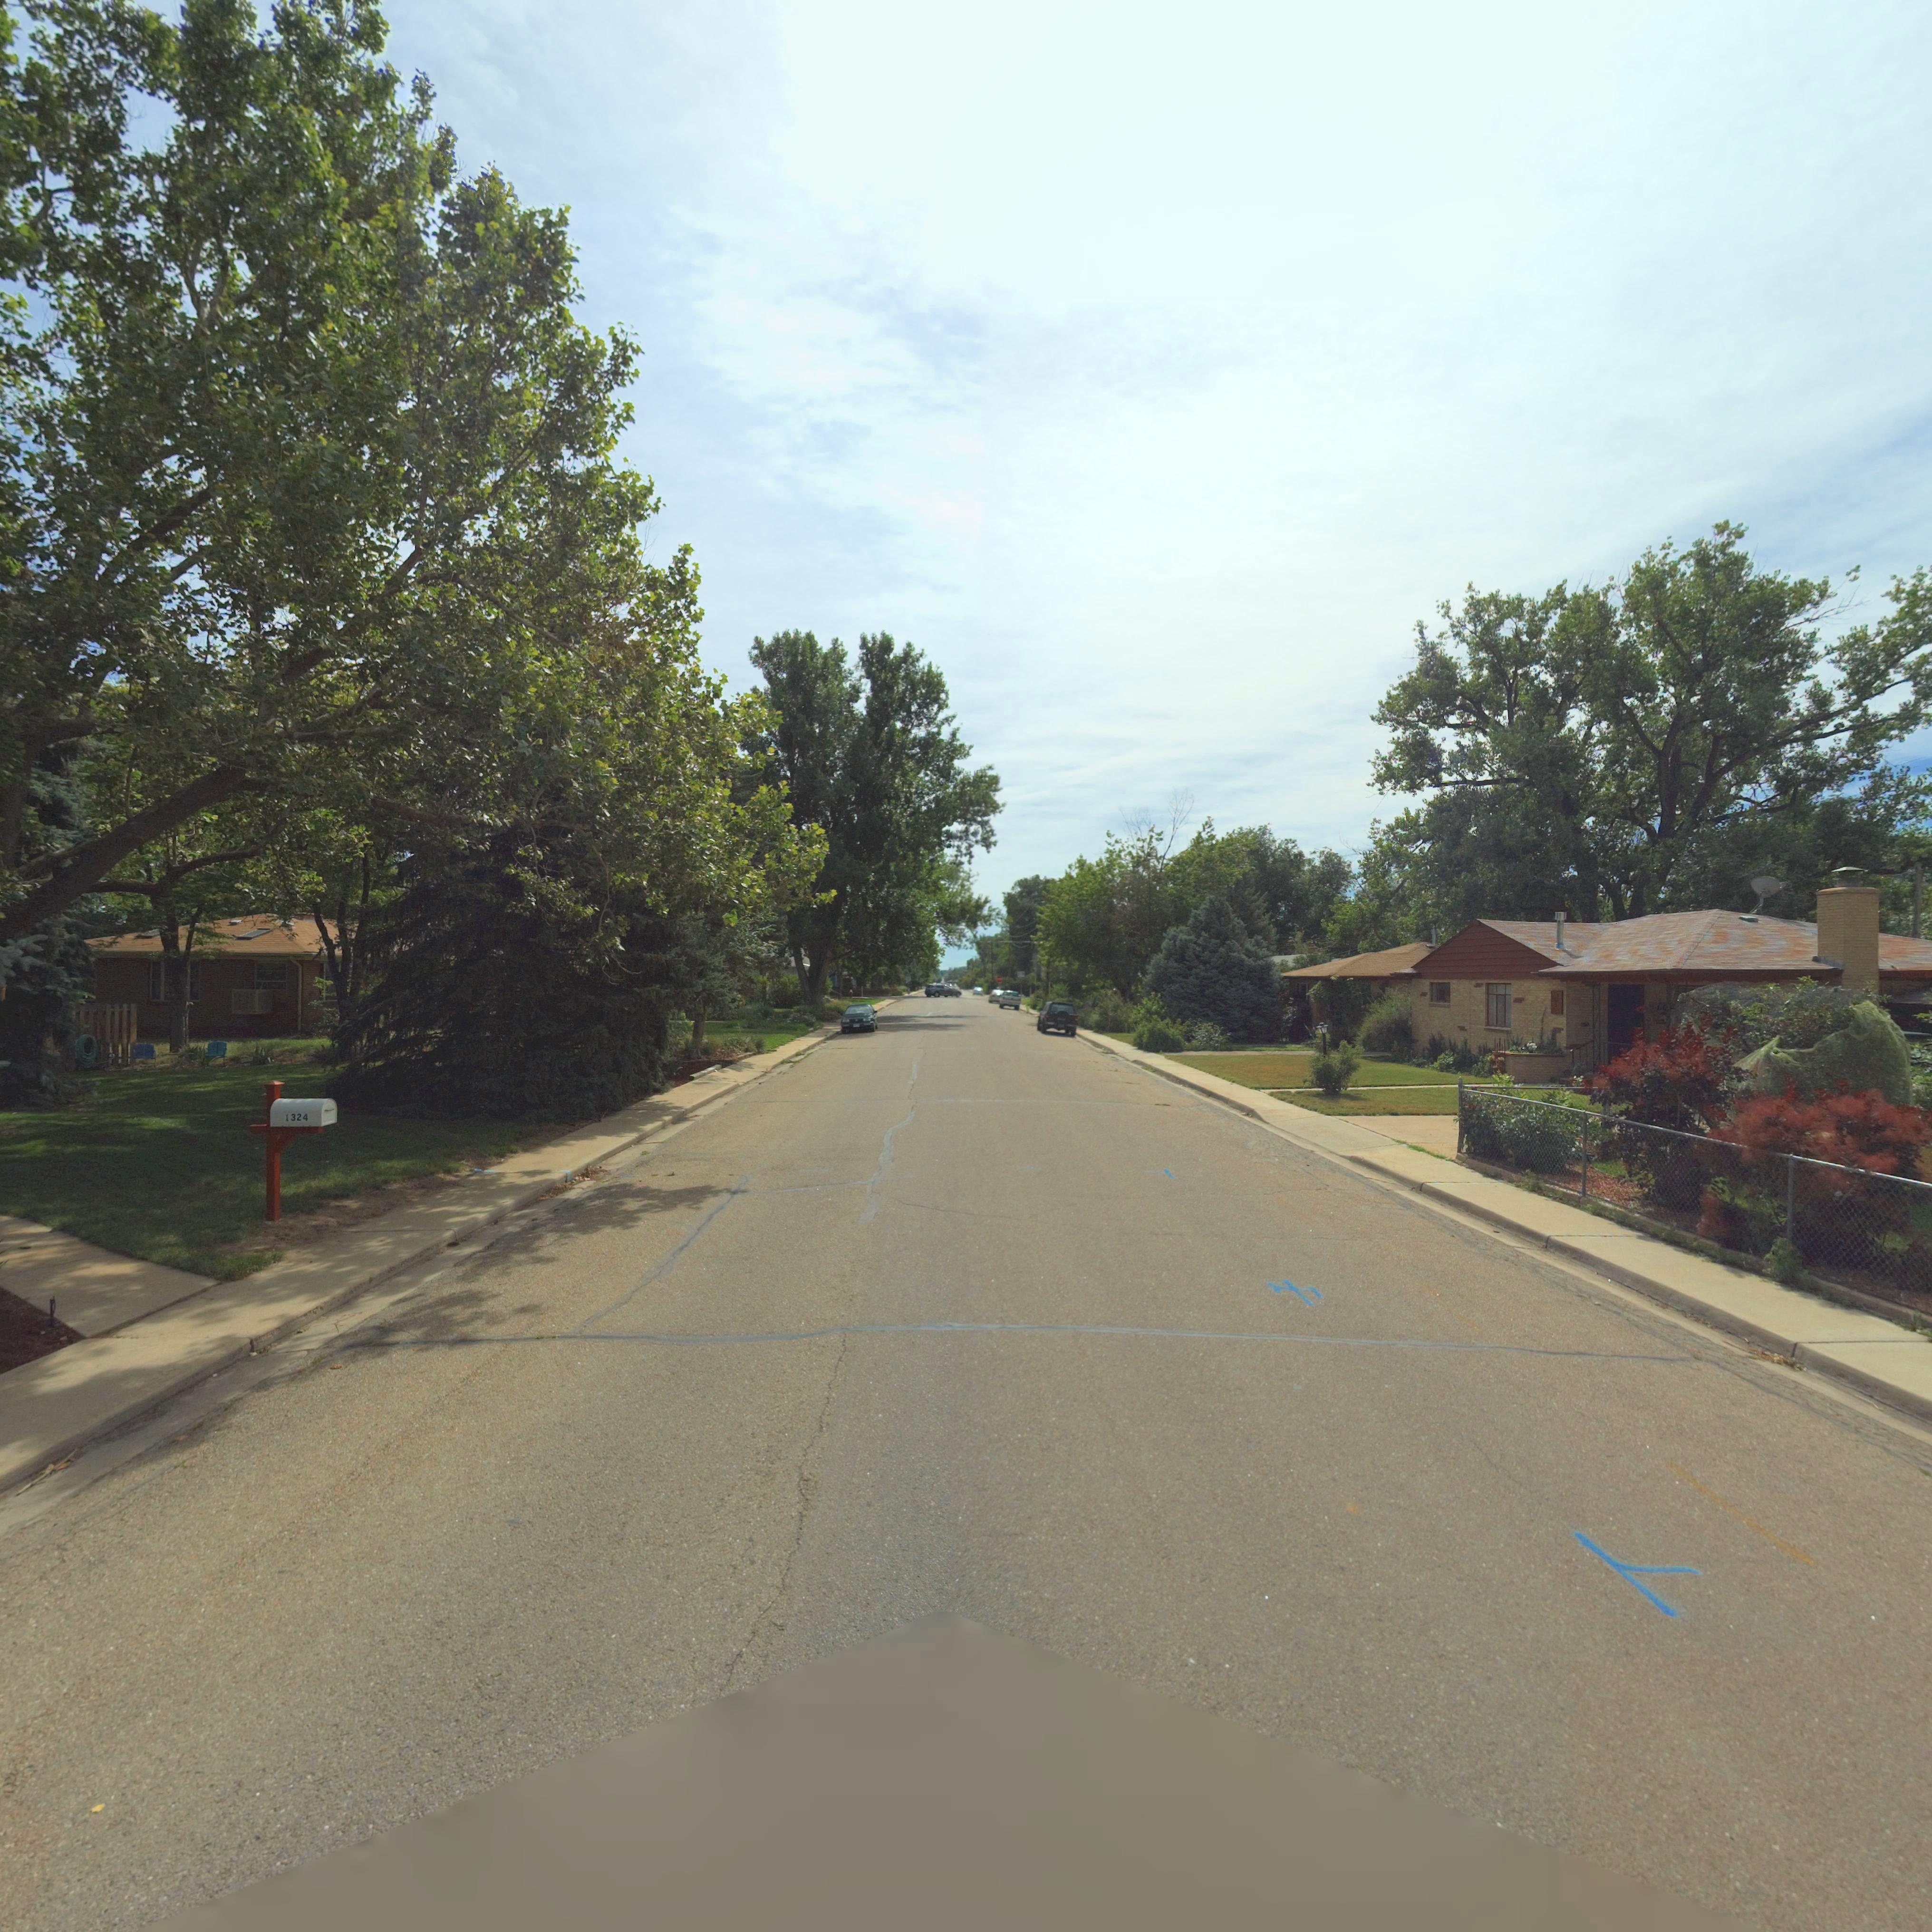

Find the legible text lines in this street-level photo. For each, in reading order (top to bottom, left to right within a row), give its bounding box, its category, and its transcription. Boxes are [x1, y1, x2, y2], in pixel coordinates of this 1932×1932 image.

[285, 1113, 309, 1122] StreetNumber: *1324